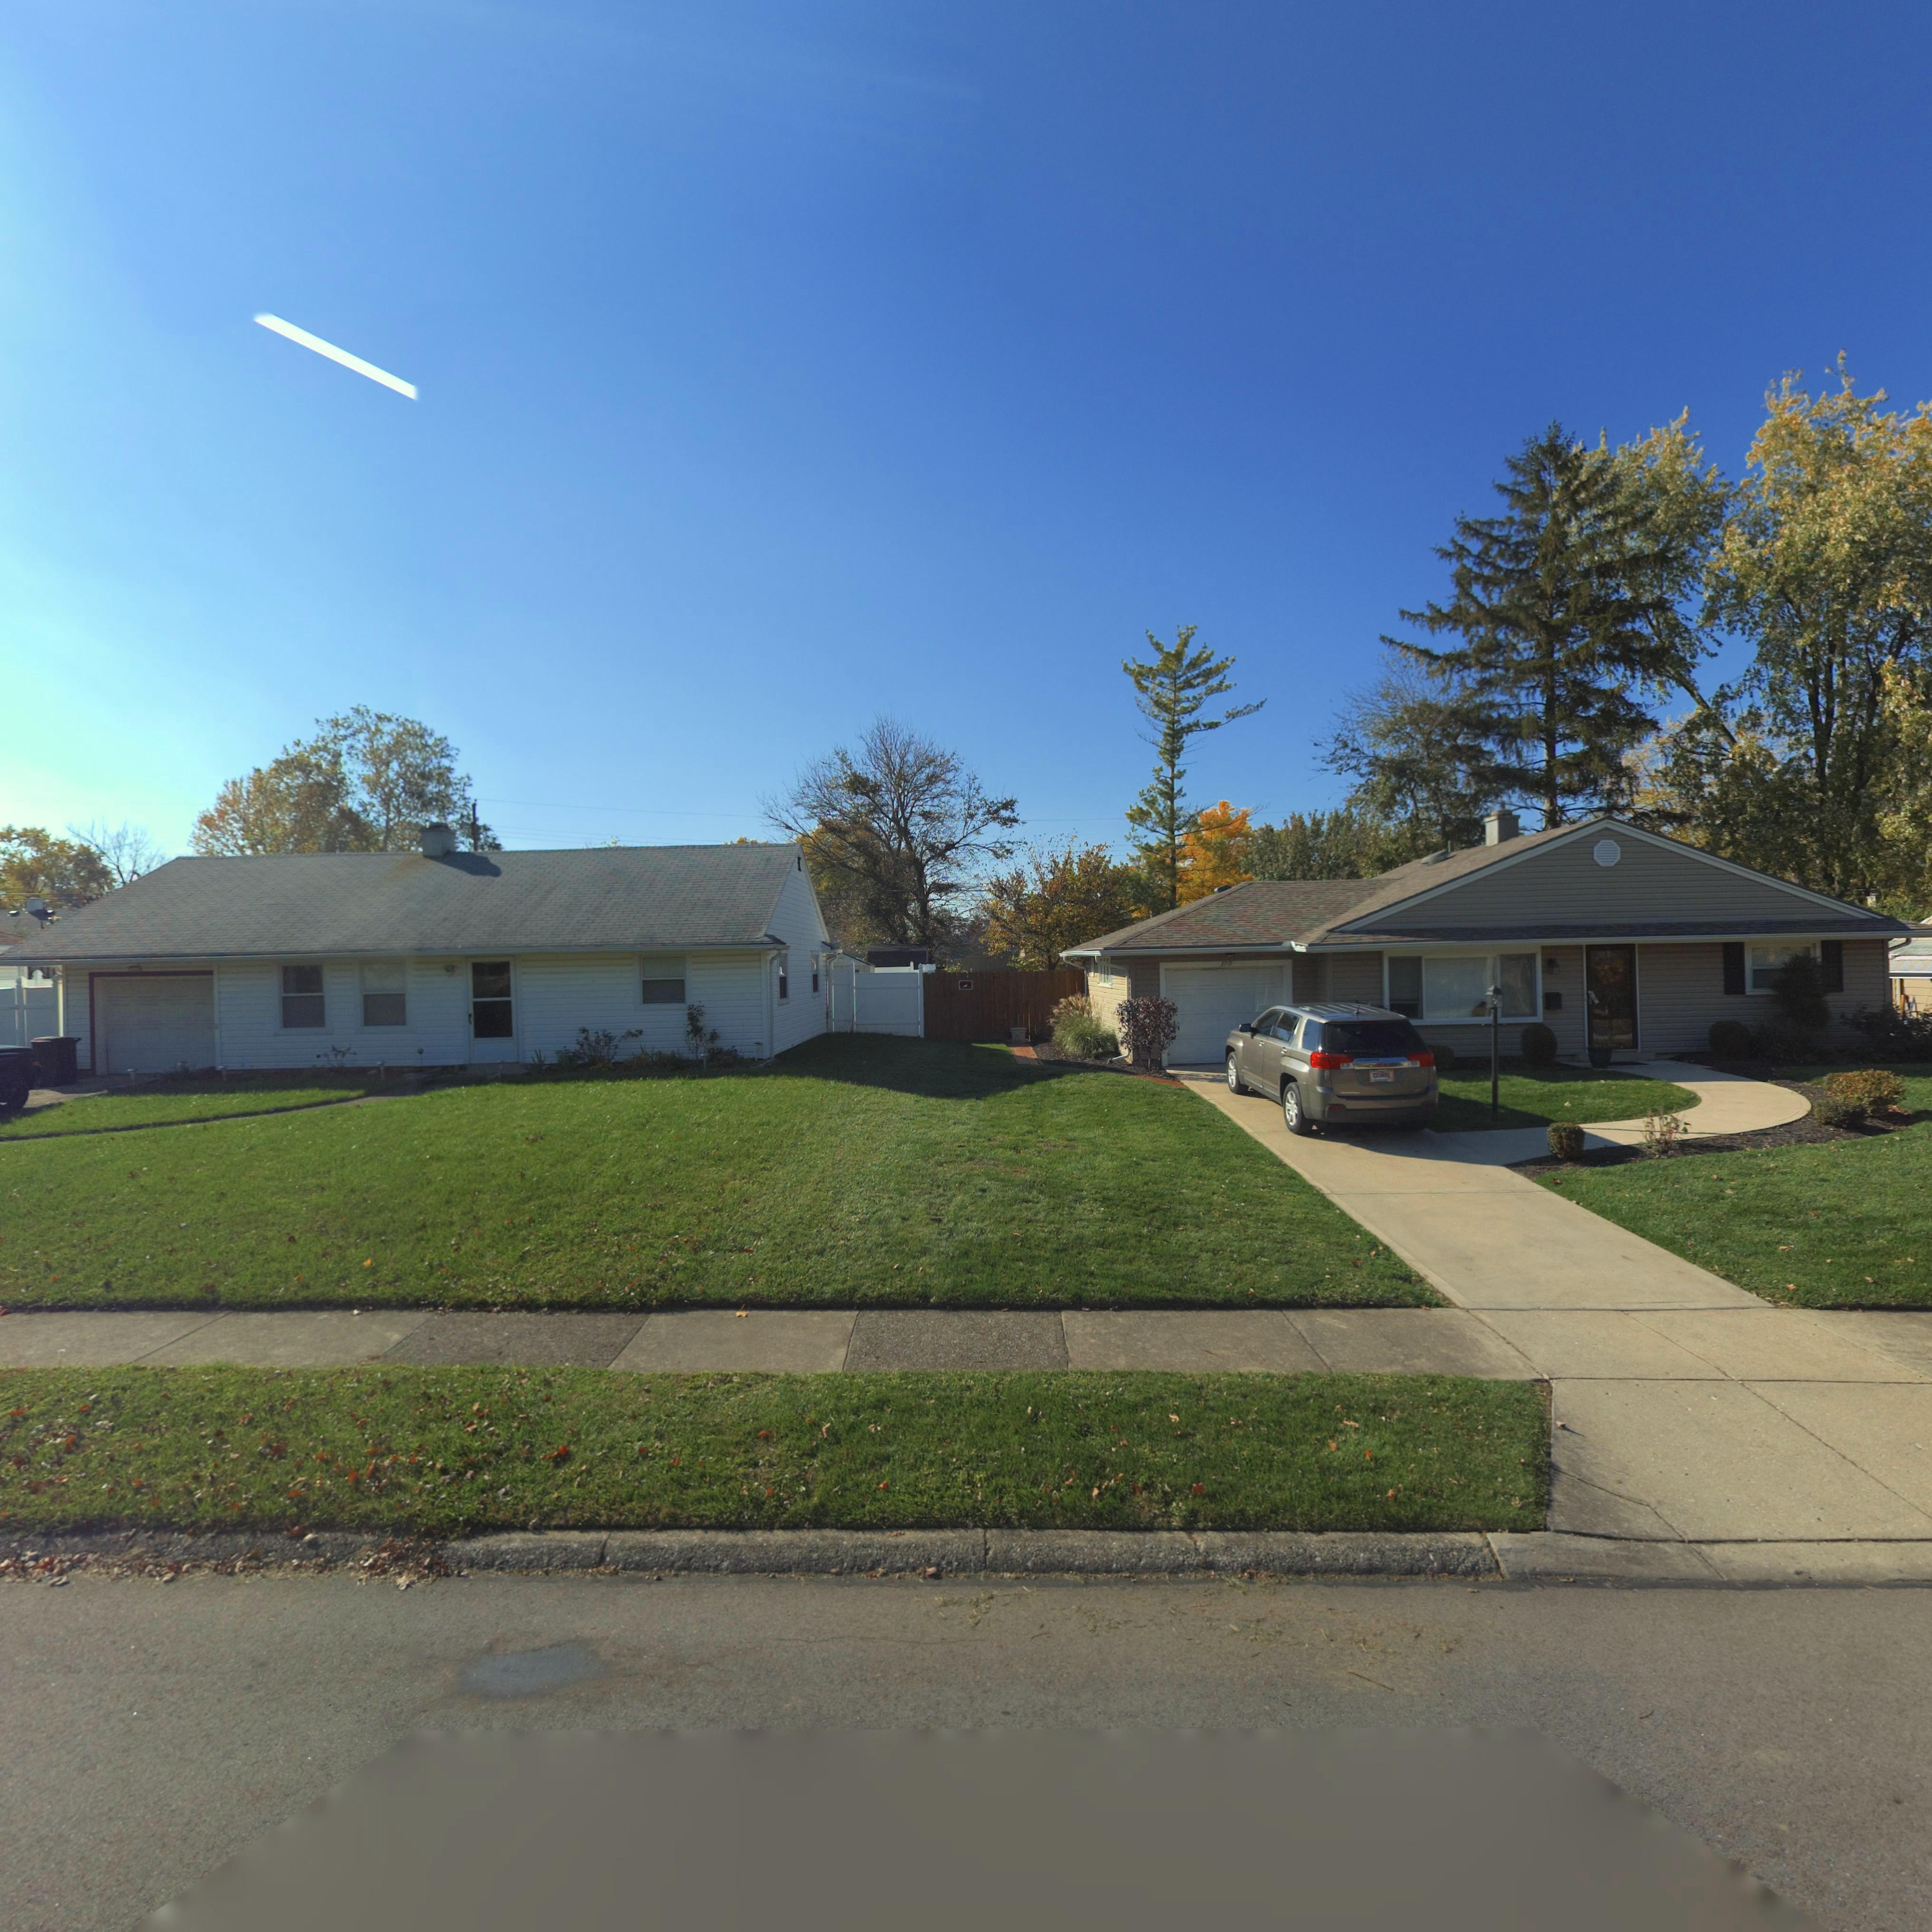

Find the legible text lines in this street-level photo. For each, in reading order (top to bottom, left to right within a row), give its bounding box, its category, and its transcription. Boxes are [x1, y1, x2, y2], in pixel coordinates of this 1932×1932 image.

[1219, 961, 1233, 966] StreetNumber: 3719